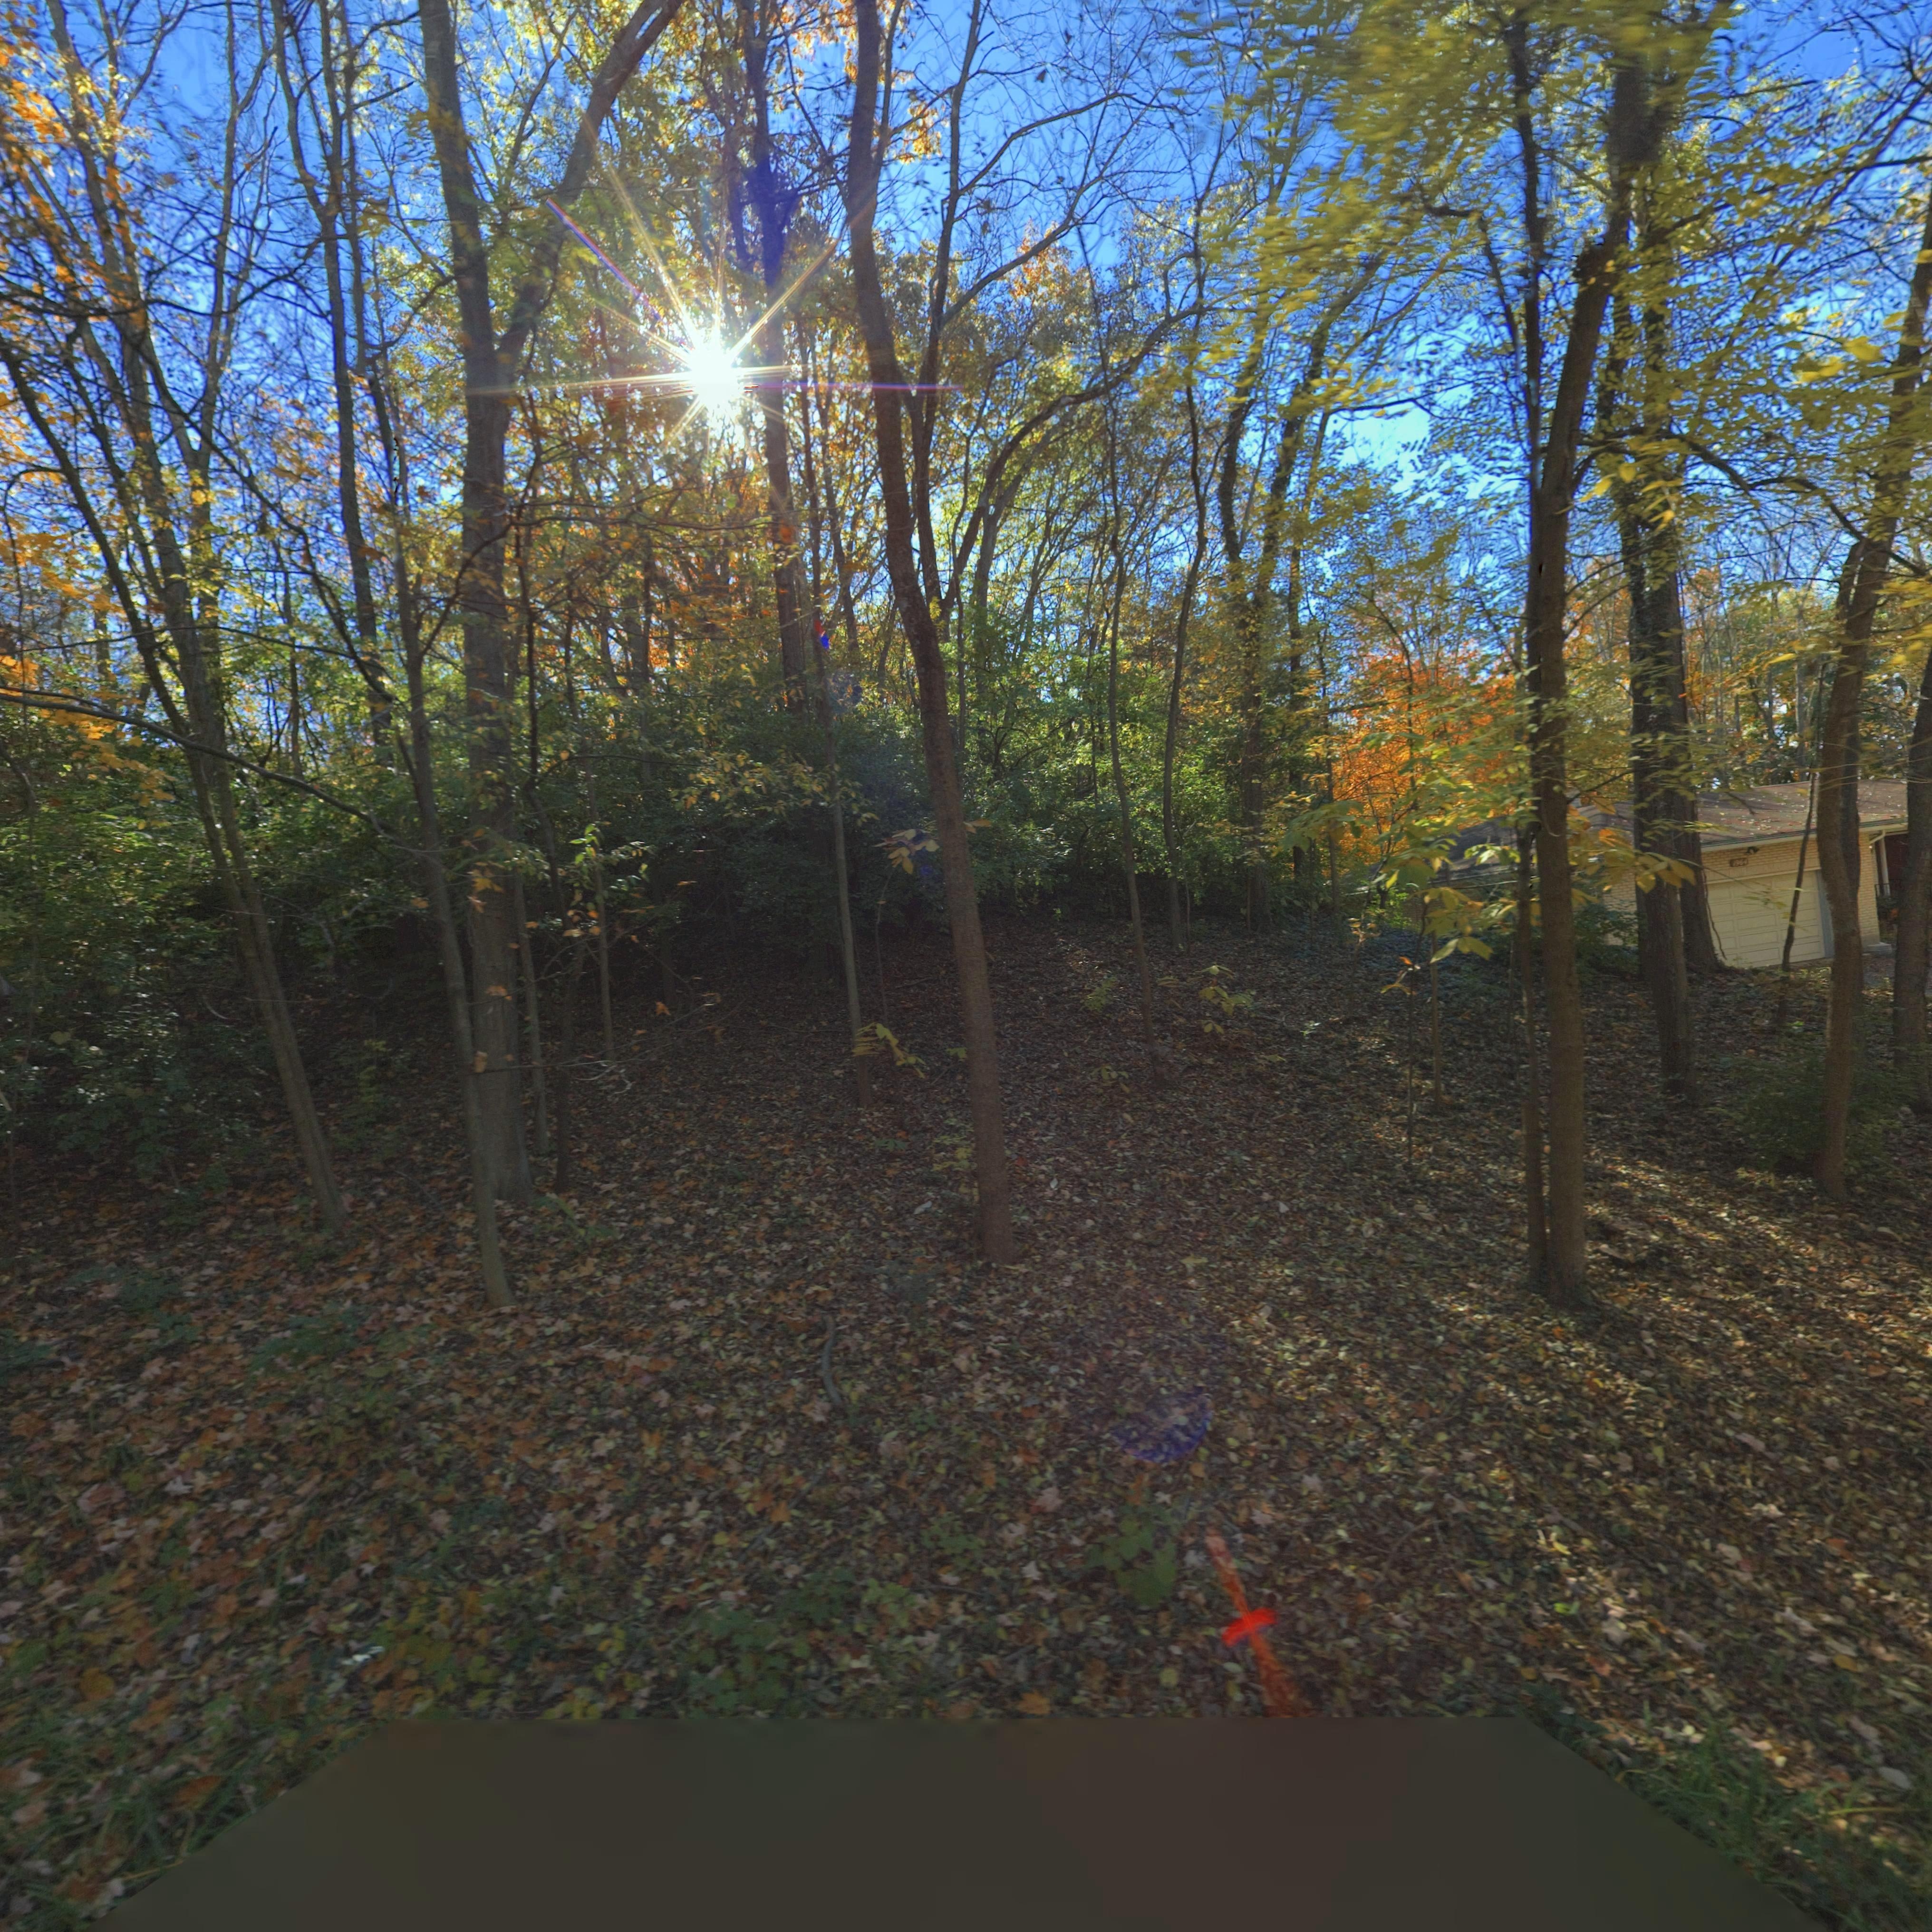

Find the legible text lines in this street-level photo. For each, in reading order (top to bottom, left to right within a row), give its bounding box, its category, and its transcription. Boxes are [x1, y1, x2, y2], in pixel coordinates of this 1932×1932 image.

[1731, 858, 1748, 868] StreetNumber: 1964